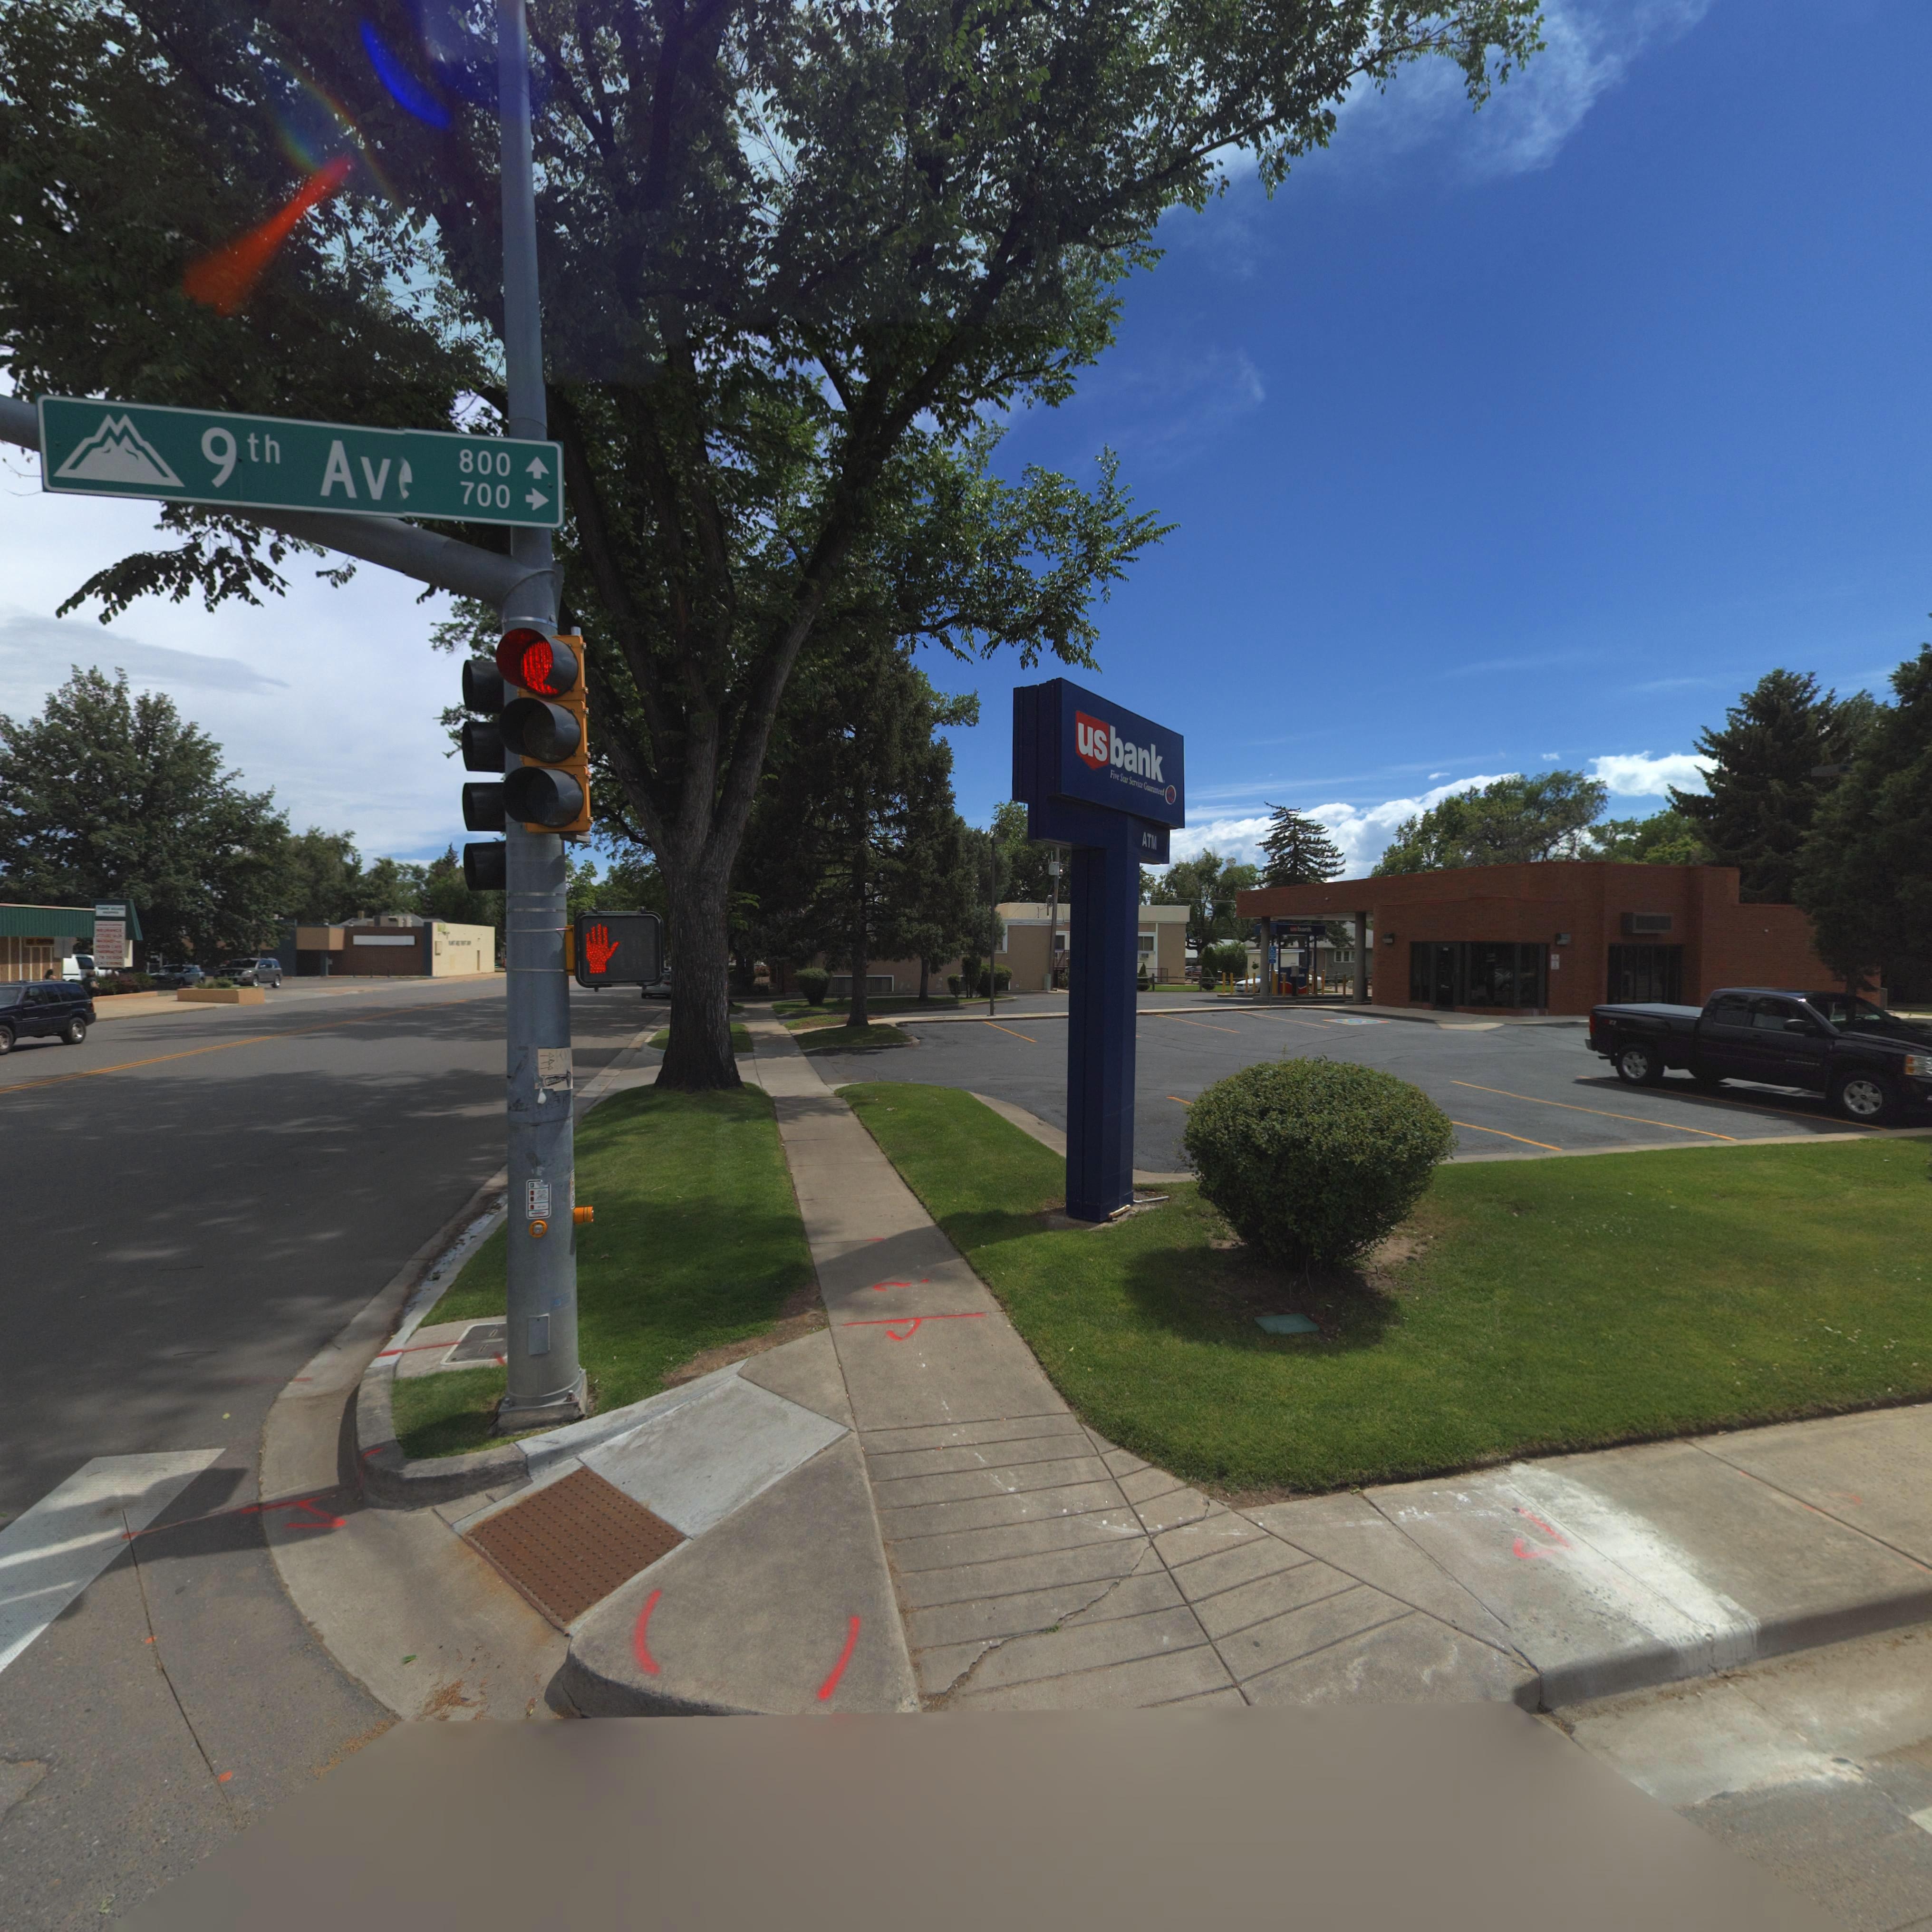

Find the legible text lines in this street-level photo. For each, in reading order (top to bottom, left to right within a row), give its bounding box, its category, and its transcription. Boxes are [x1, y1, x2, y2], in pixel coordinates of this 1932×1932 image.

[199, 425, 411, 501] StreetName: 9th Av*
[460, 448, 510, 476] StreetNumberRange: 800
[460, 481, 548, 512] StreetNumberRange: 700->
[1079, 721, 1163, 782] BusinessName: usbank
[1290, 926, 1312, 931] BusinessName: usbank